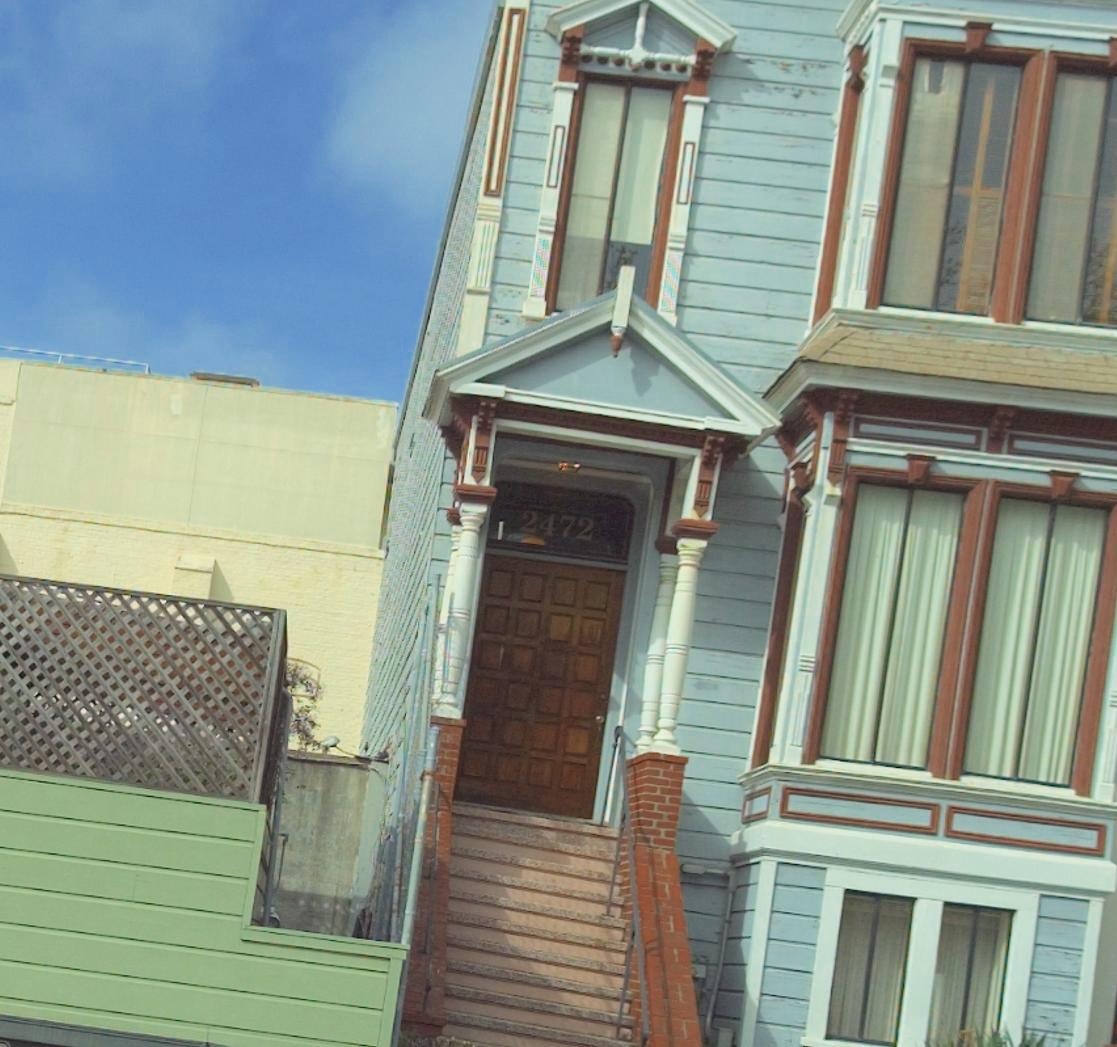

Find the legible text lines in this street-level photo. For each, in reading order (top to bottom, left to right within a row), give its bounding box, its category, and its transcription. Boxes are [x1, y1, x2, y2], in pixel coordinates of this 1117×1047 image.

[516, 507, 597, 544] StreetNumber: 2472